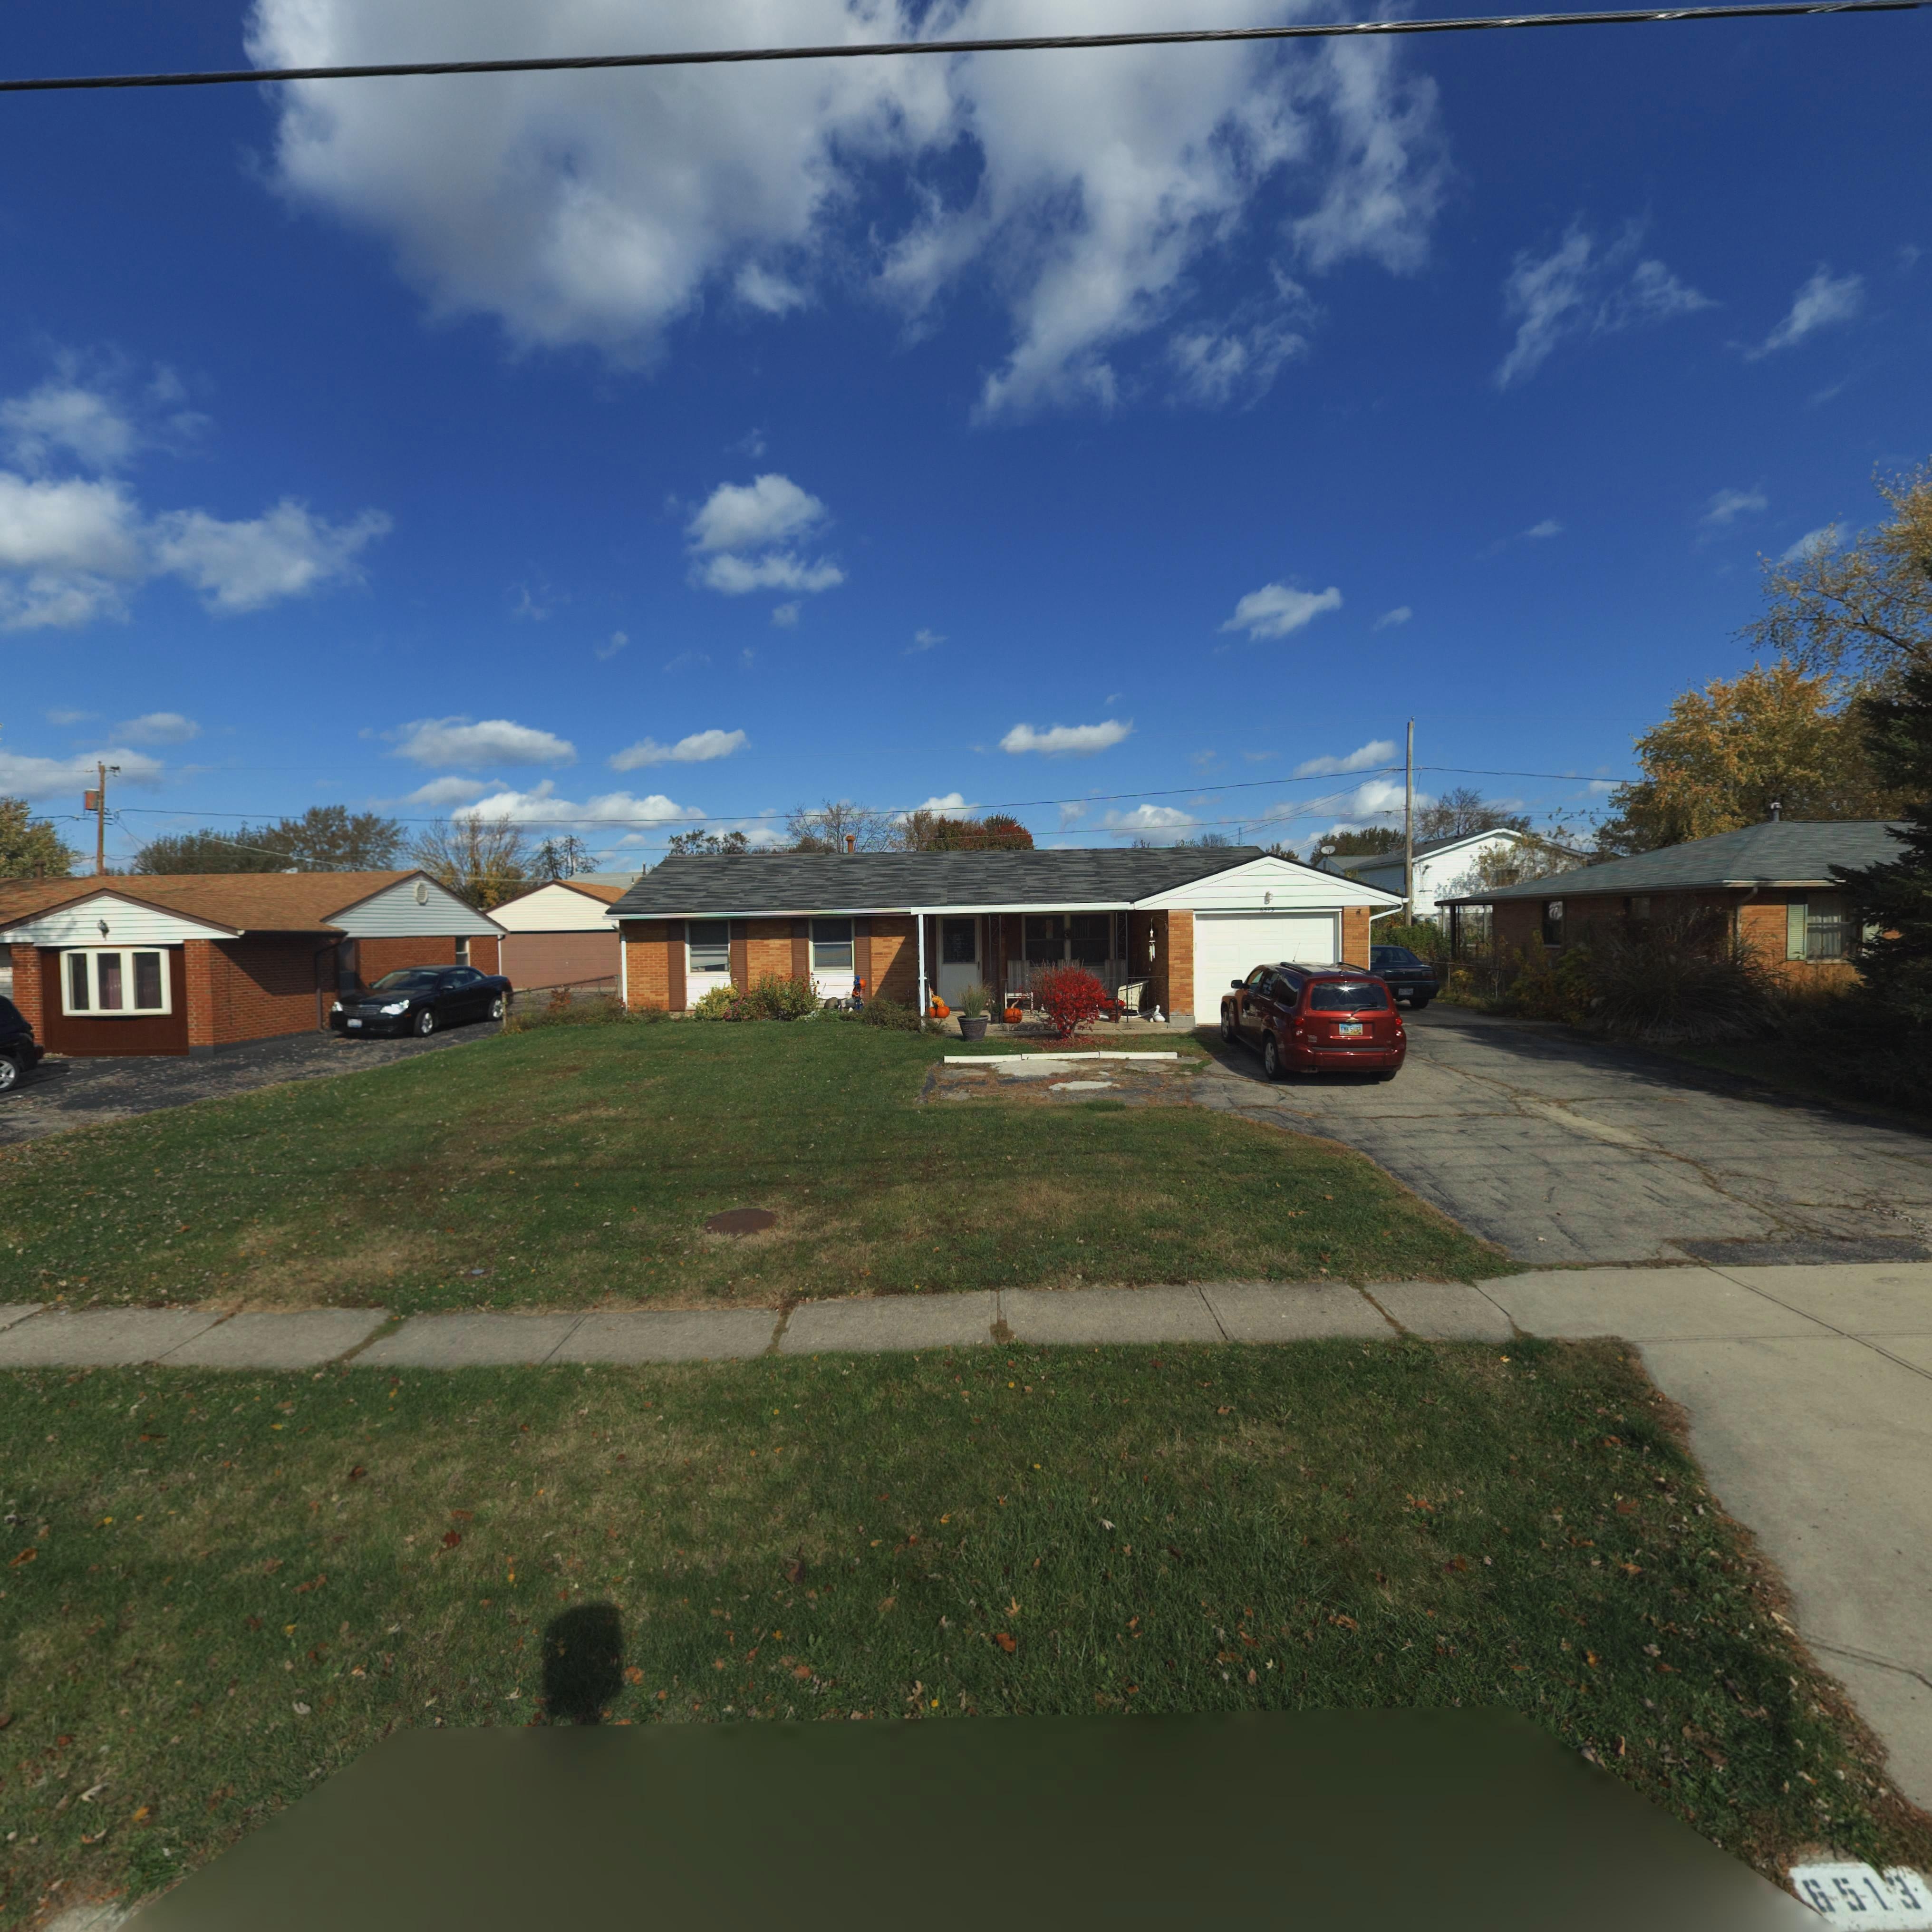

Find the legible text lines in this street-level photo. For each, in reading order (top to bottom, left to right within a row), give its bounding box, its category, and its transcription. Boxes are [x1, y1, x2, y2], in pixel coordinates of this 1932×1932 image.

[1259, 907, 1275, 912] StreetNumber: 6513
[1800, 1874, 1924, 1915] StreetNumber: 6513